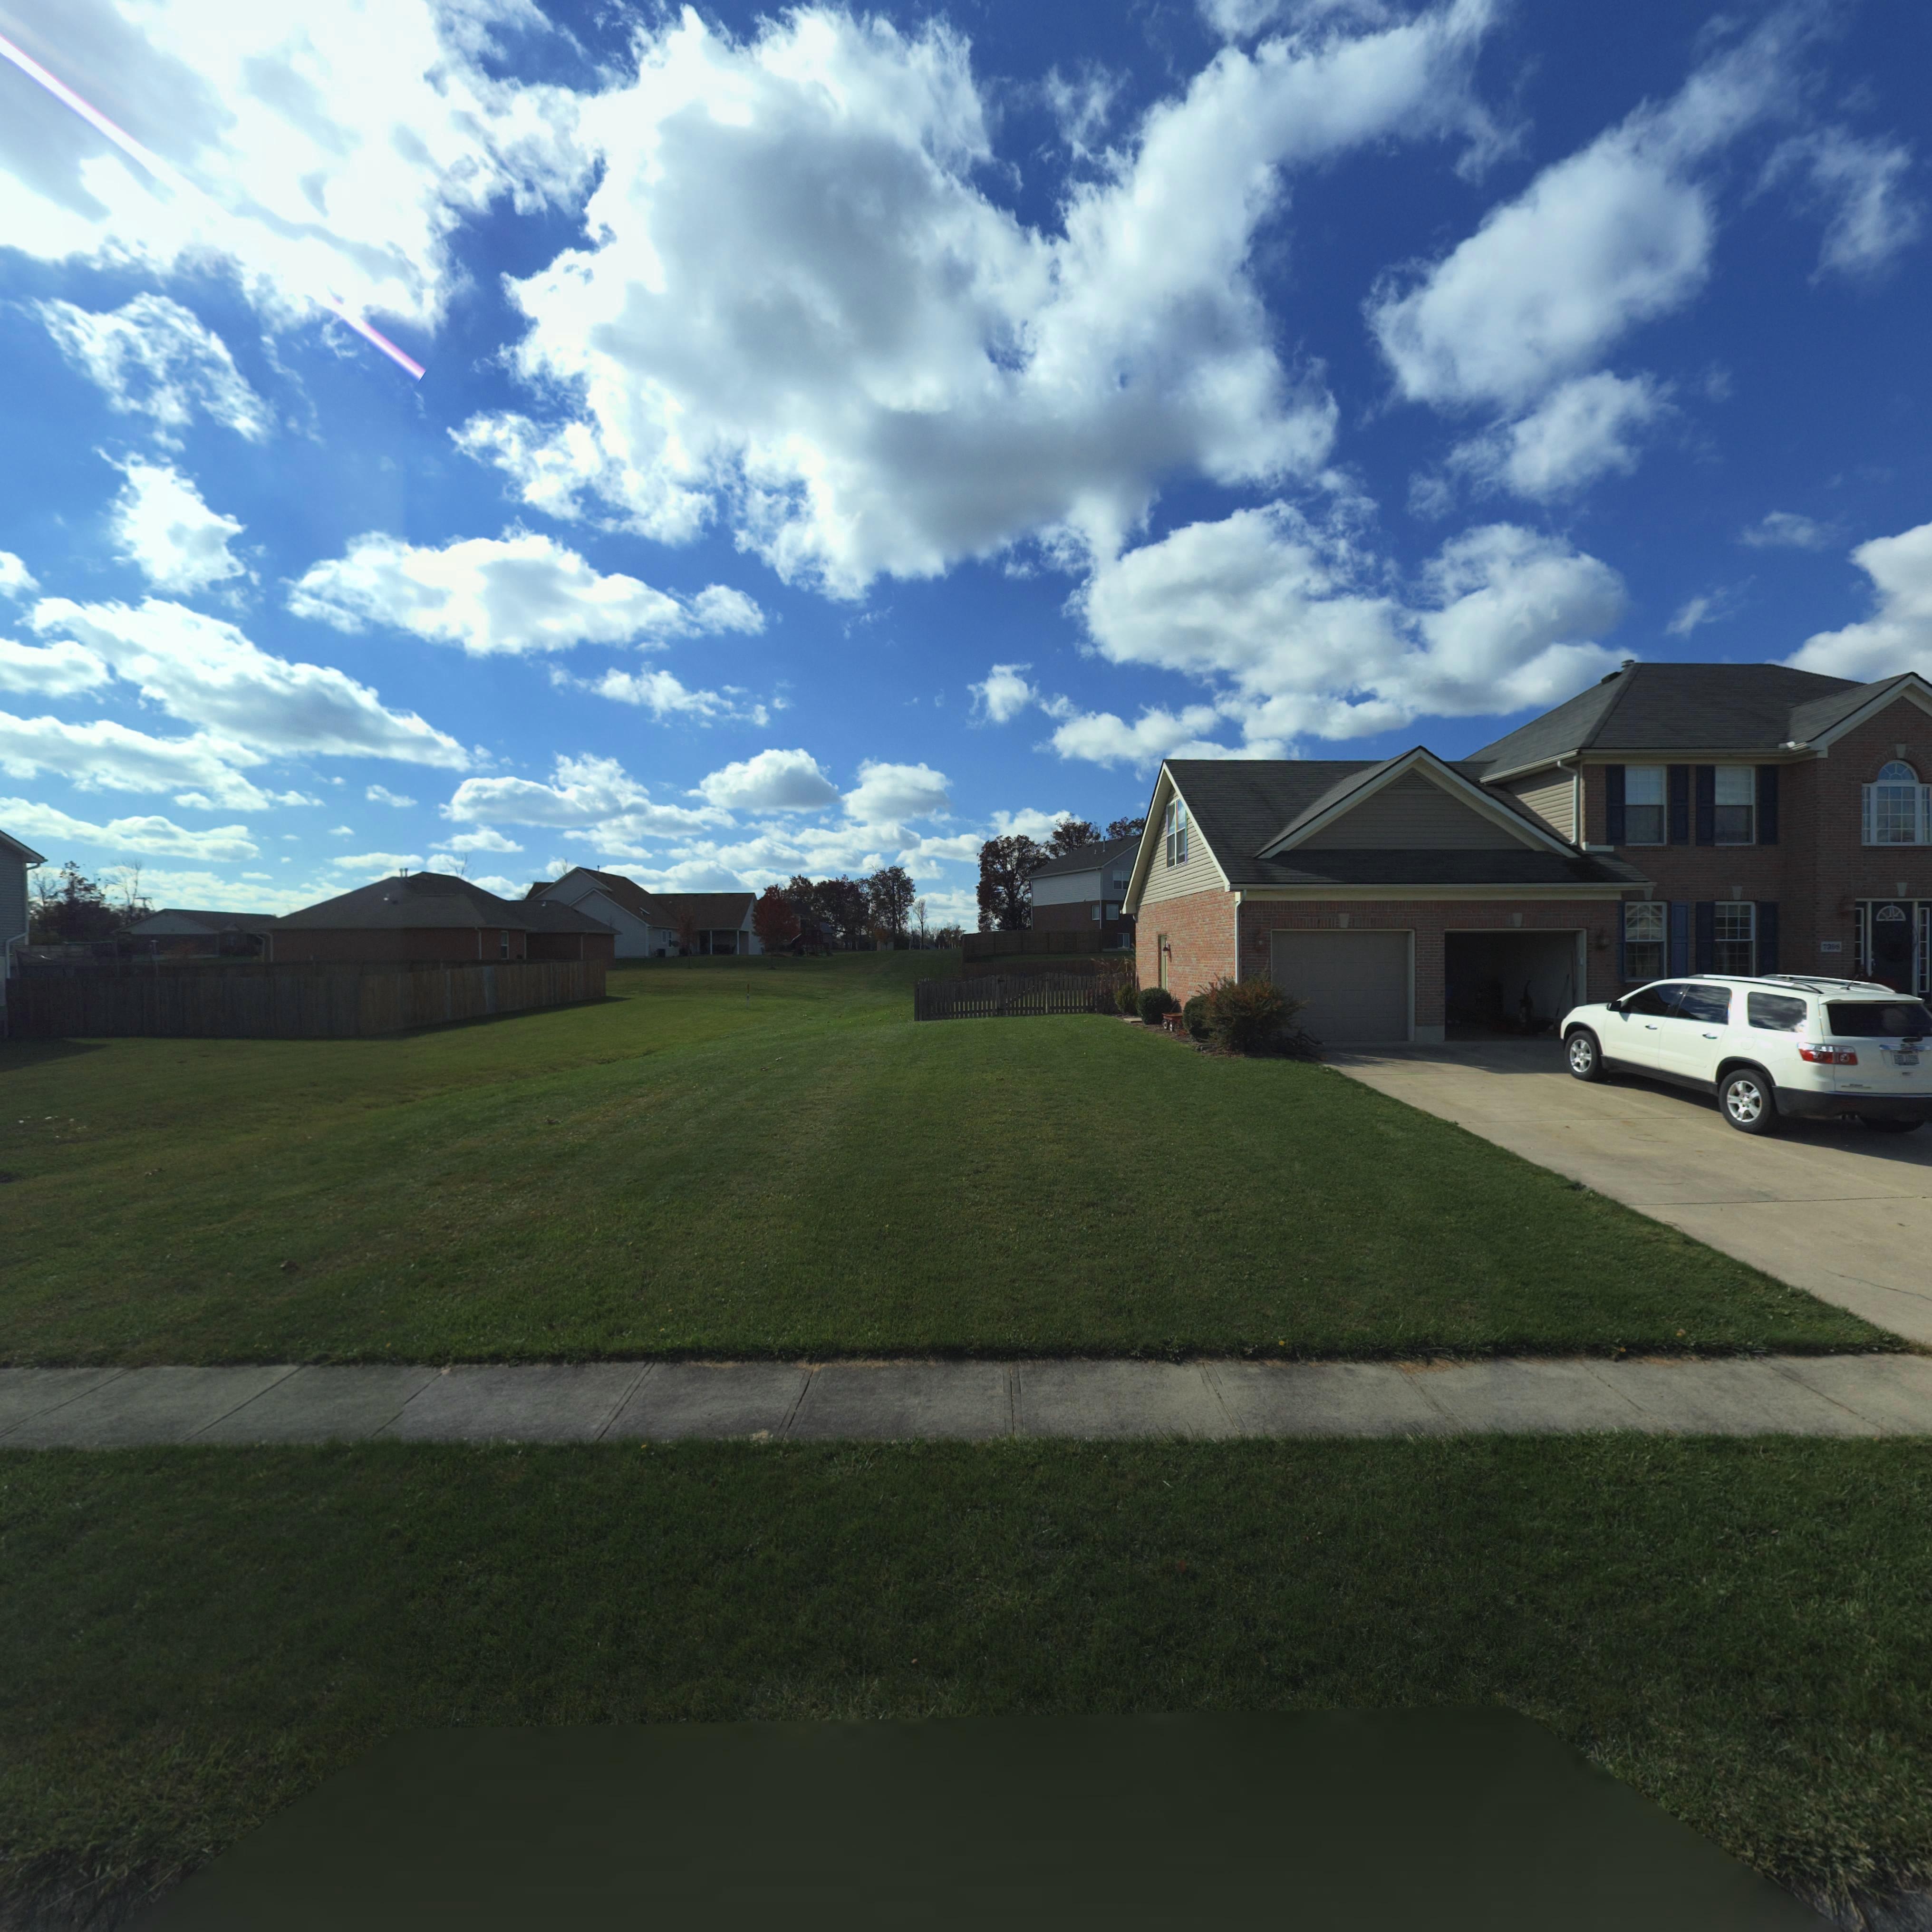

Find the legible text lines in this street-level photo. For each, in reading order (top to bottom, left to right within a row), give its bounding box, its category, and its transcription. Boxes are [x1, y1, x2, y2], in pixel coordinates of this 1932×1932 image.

[1821, 943, 1841, 950] StreetNumber: 7398